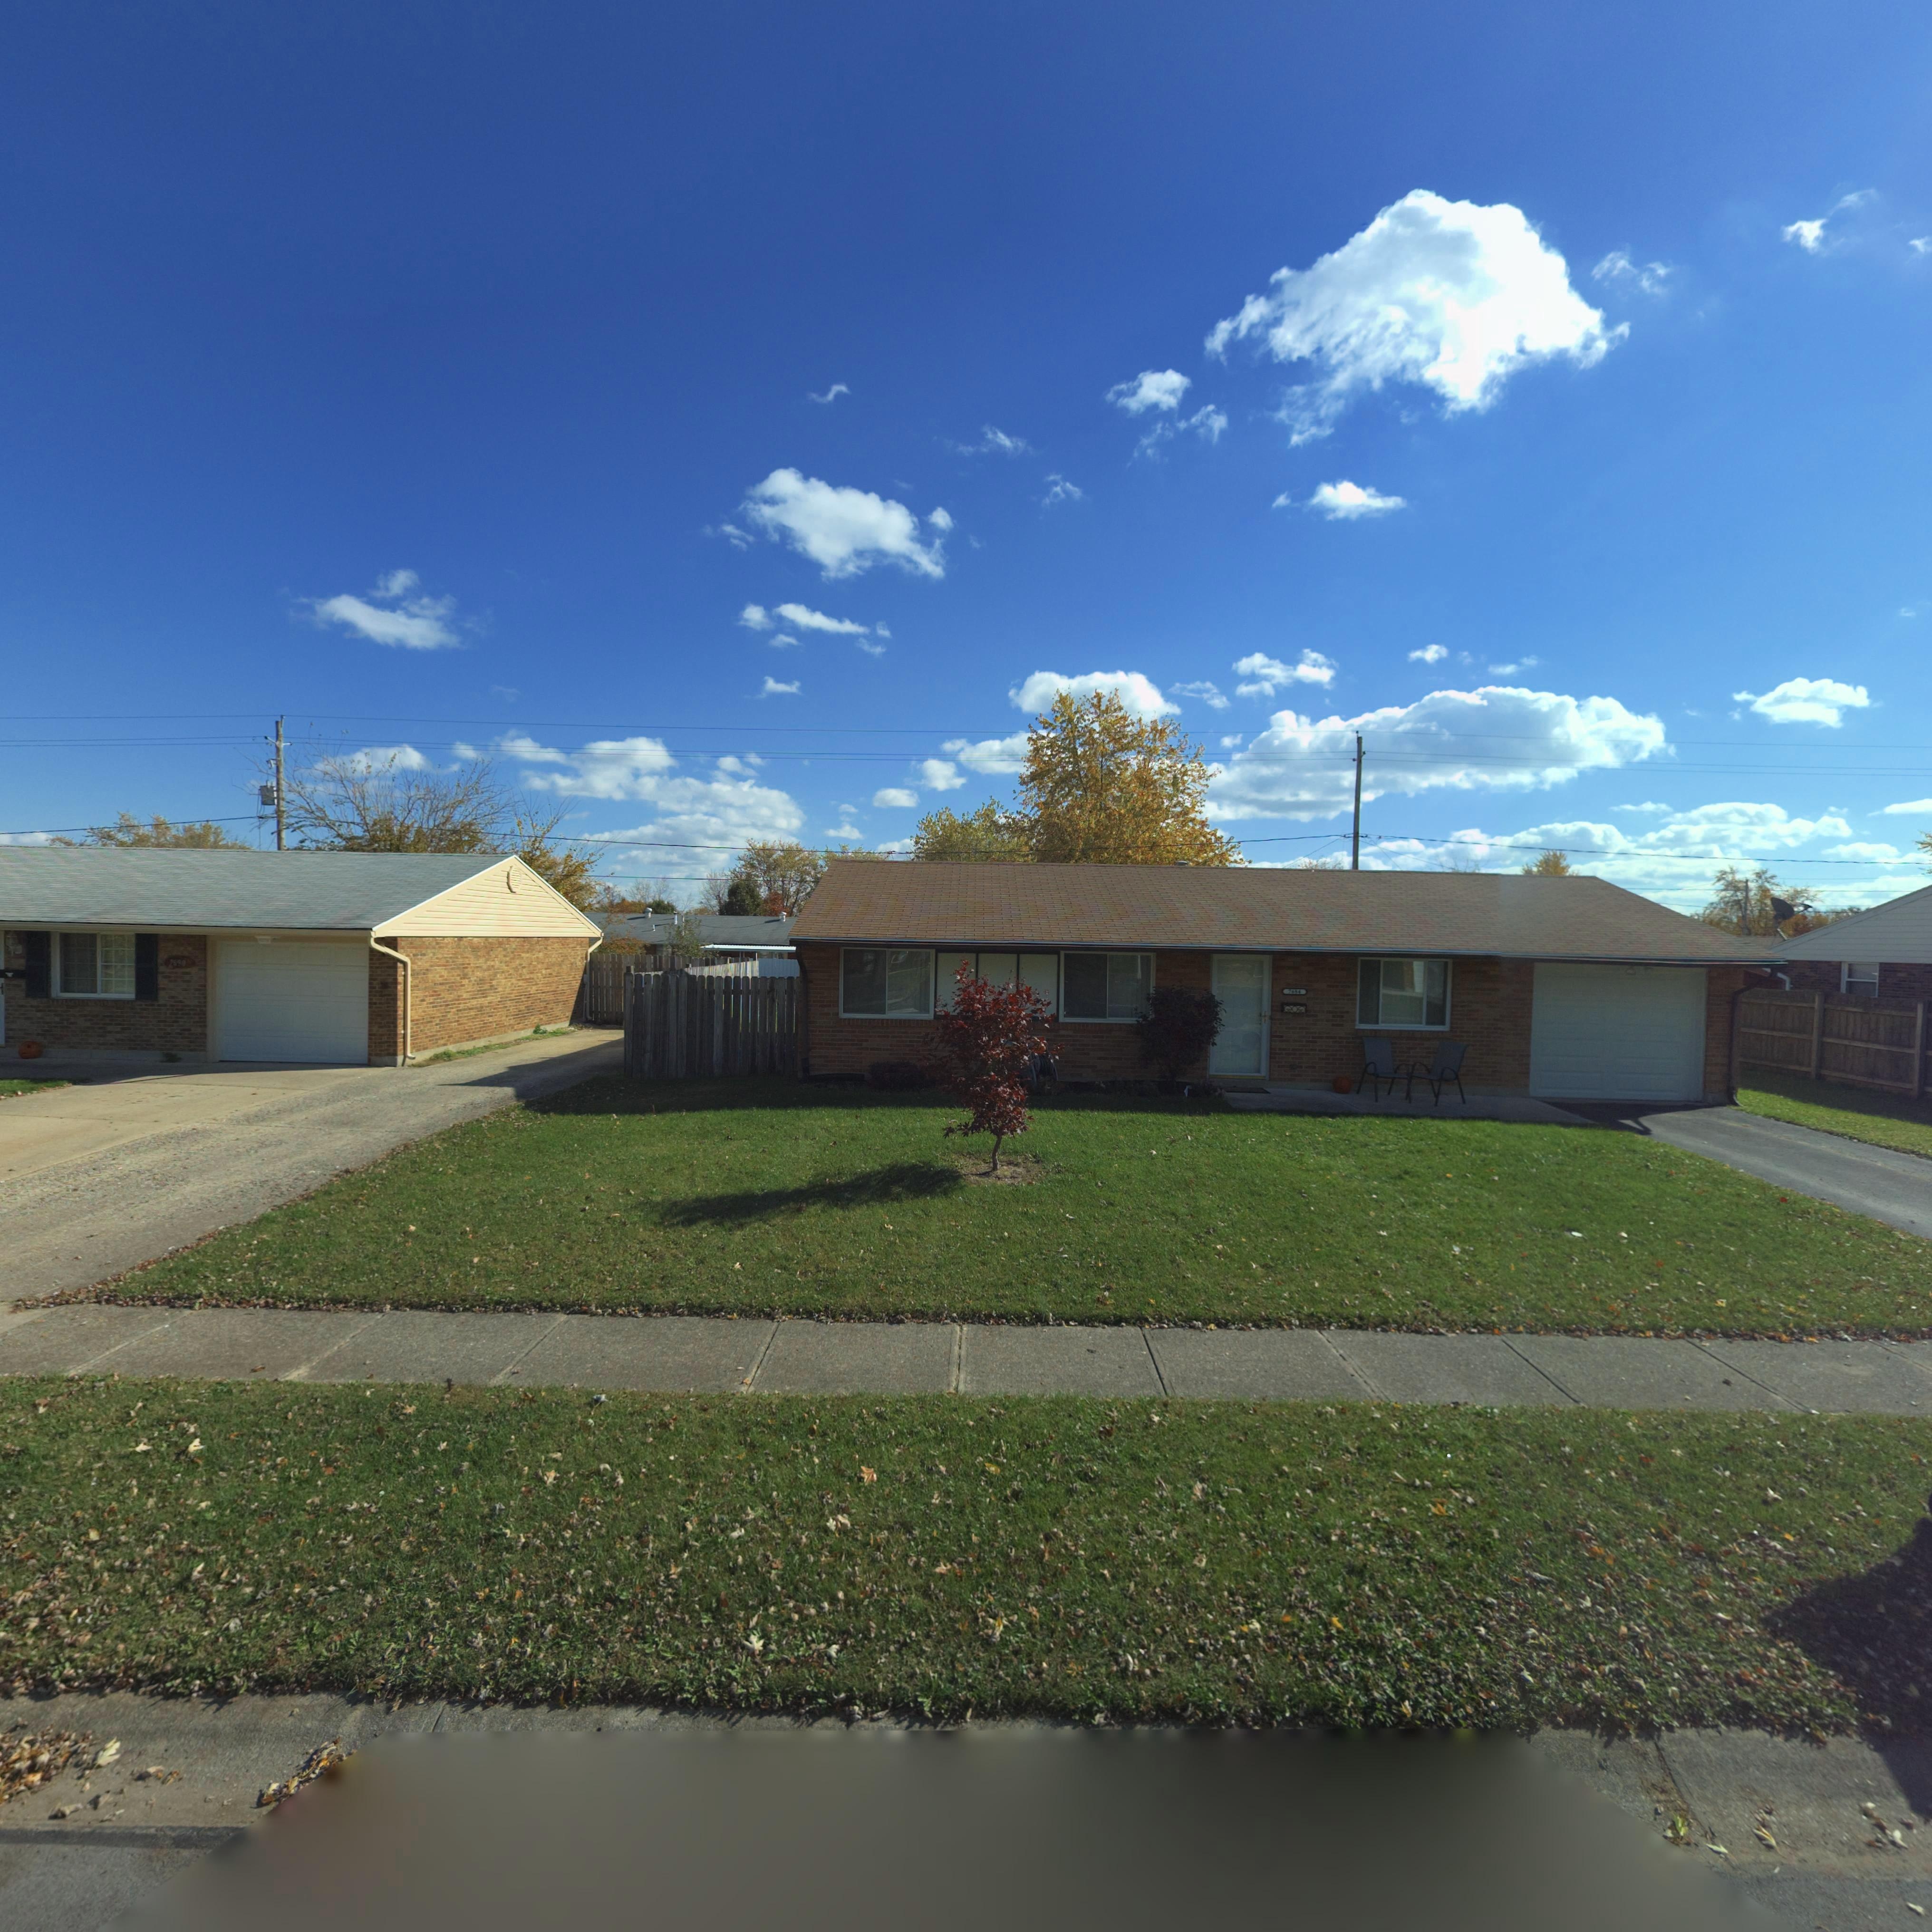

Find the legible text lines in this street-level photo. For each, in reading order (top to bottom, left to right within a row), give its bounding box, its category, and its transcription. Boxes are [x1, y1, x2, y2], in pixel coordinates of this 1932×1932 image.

[1287, 988, 1302, 995] StreetNumber: 7***